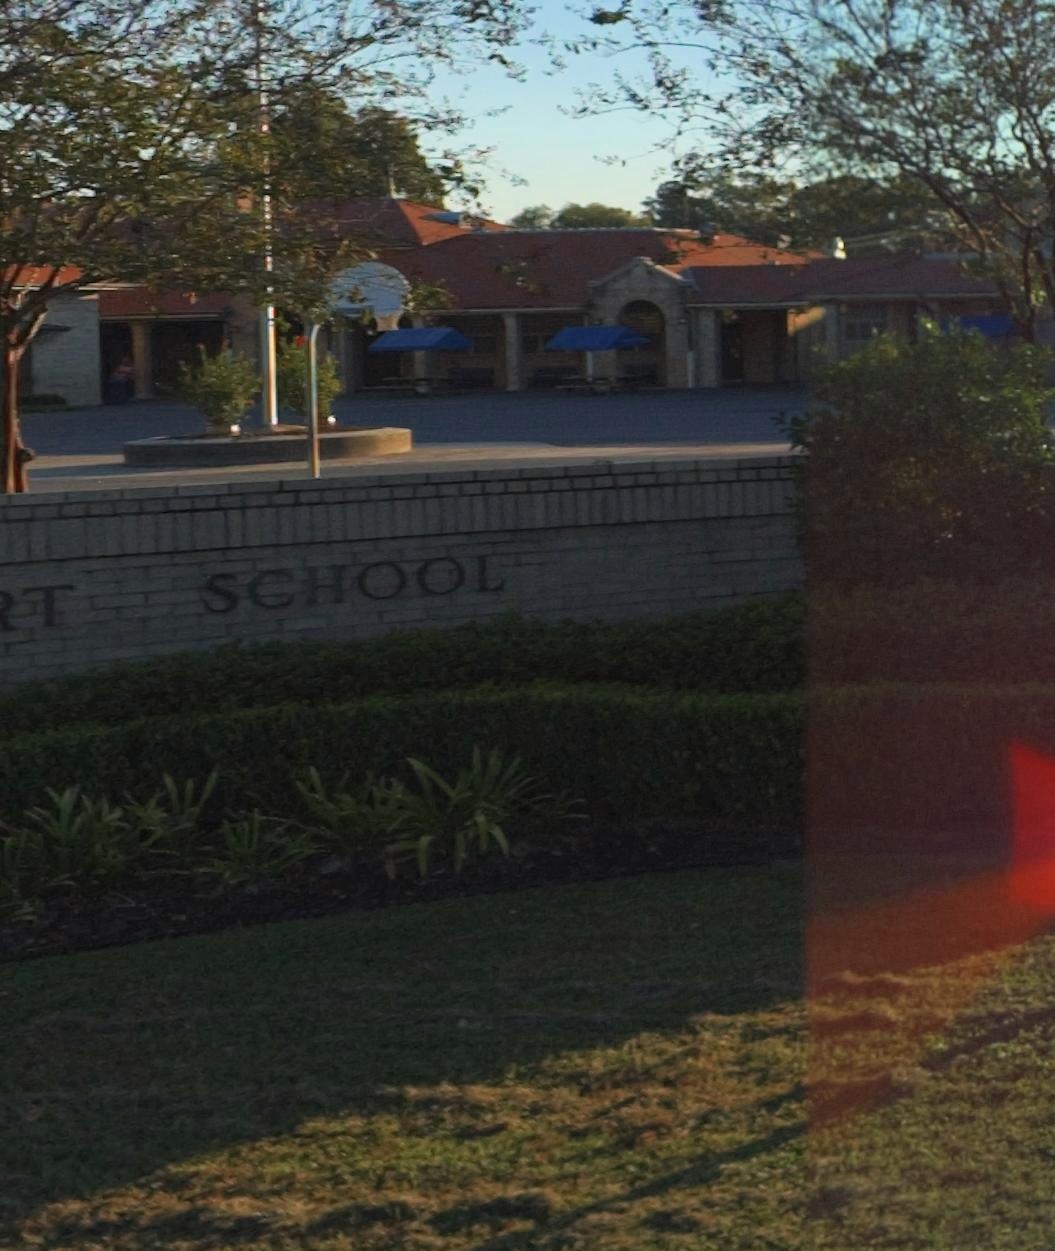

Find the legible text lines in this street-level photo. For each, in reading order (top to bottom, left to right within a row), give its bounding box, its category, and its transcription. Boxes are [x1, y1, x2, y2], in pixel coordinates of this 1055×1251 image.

[18, 548, 516, 633] BusinessName: T SCHOOL